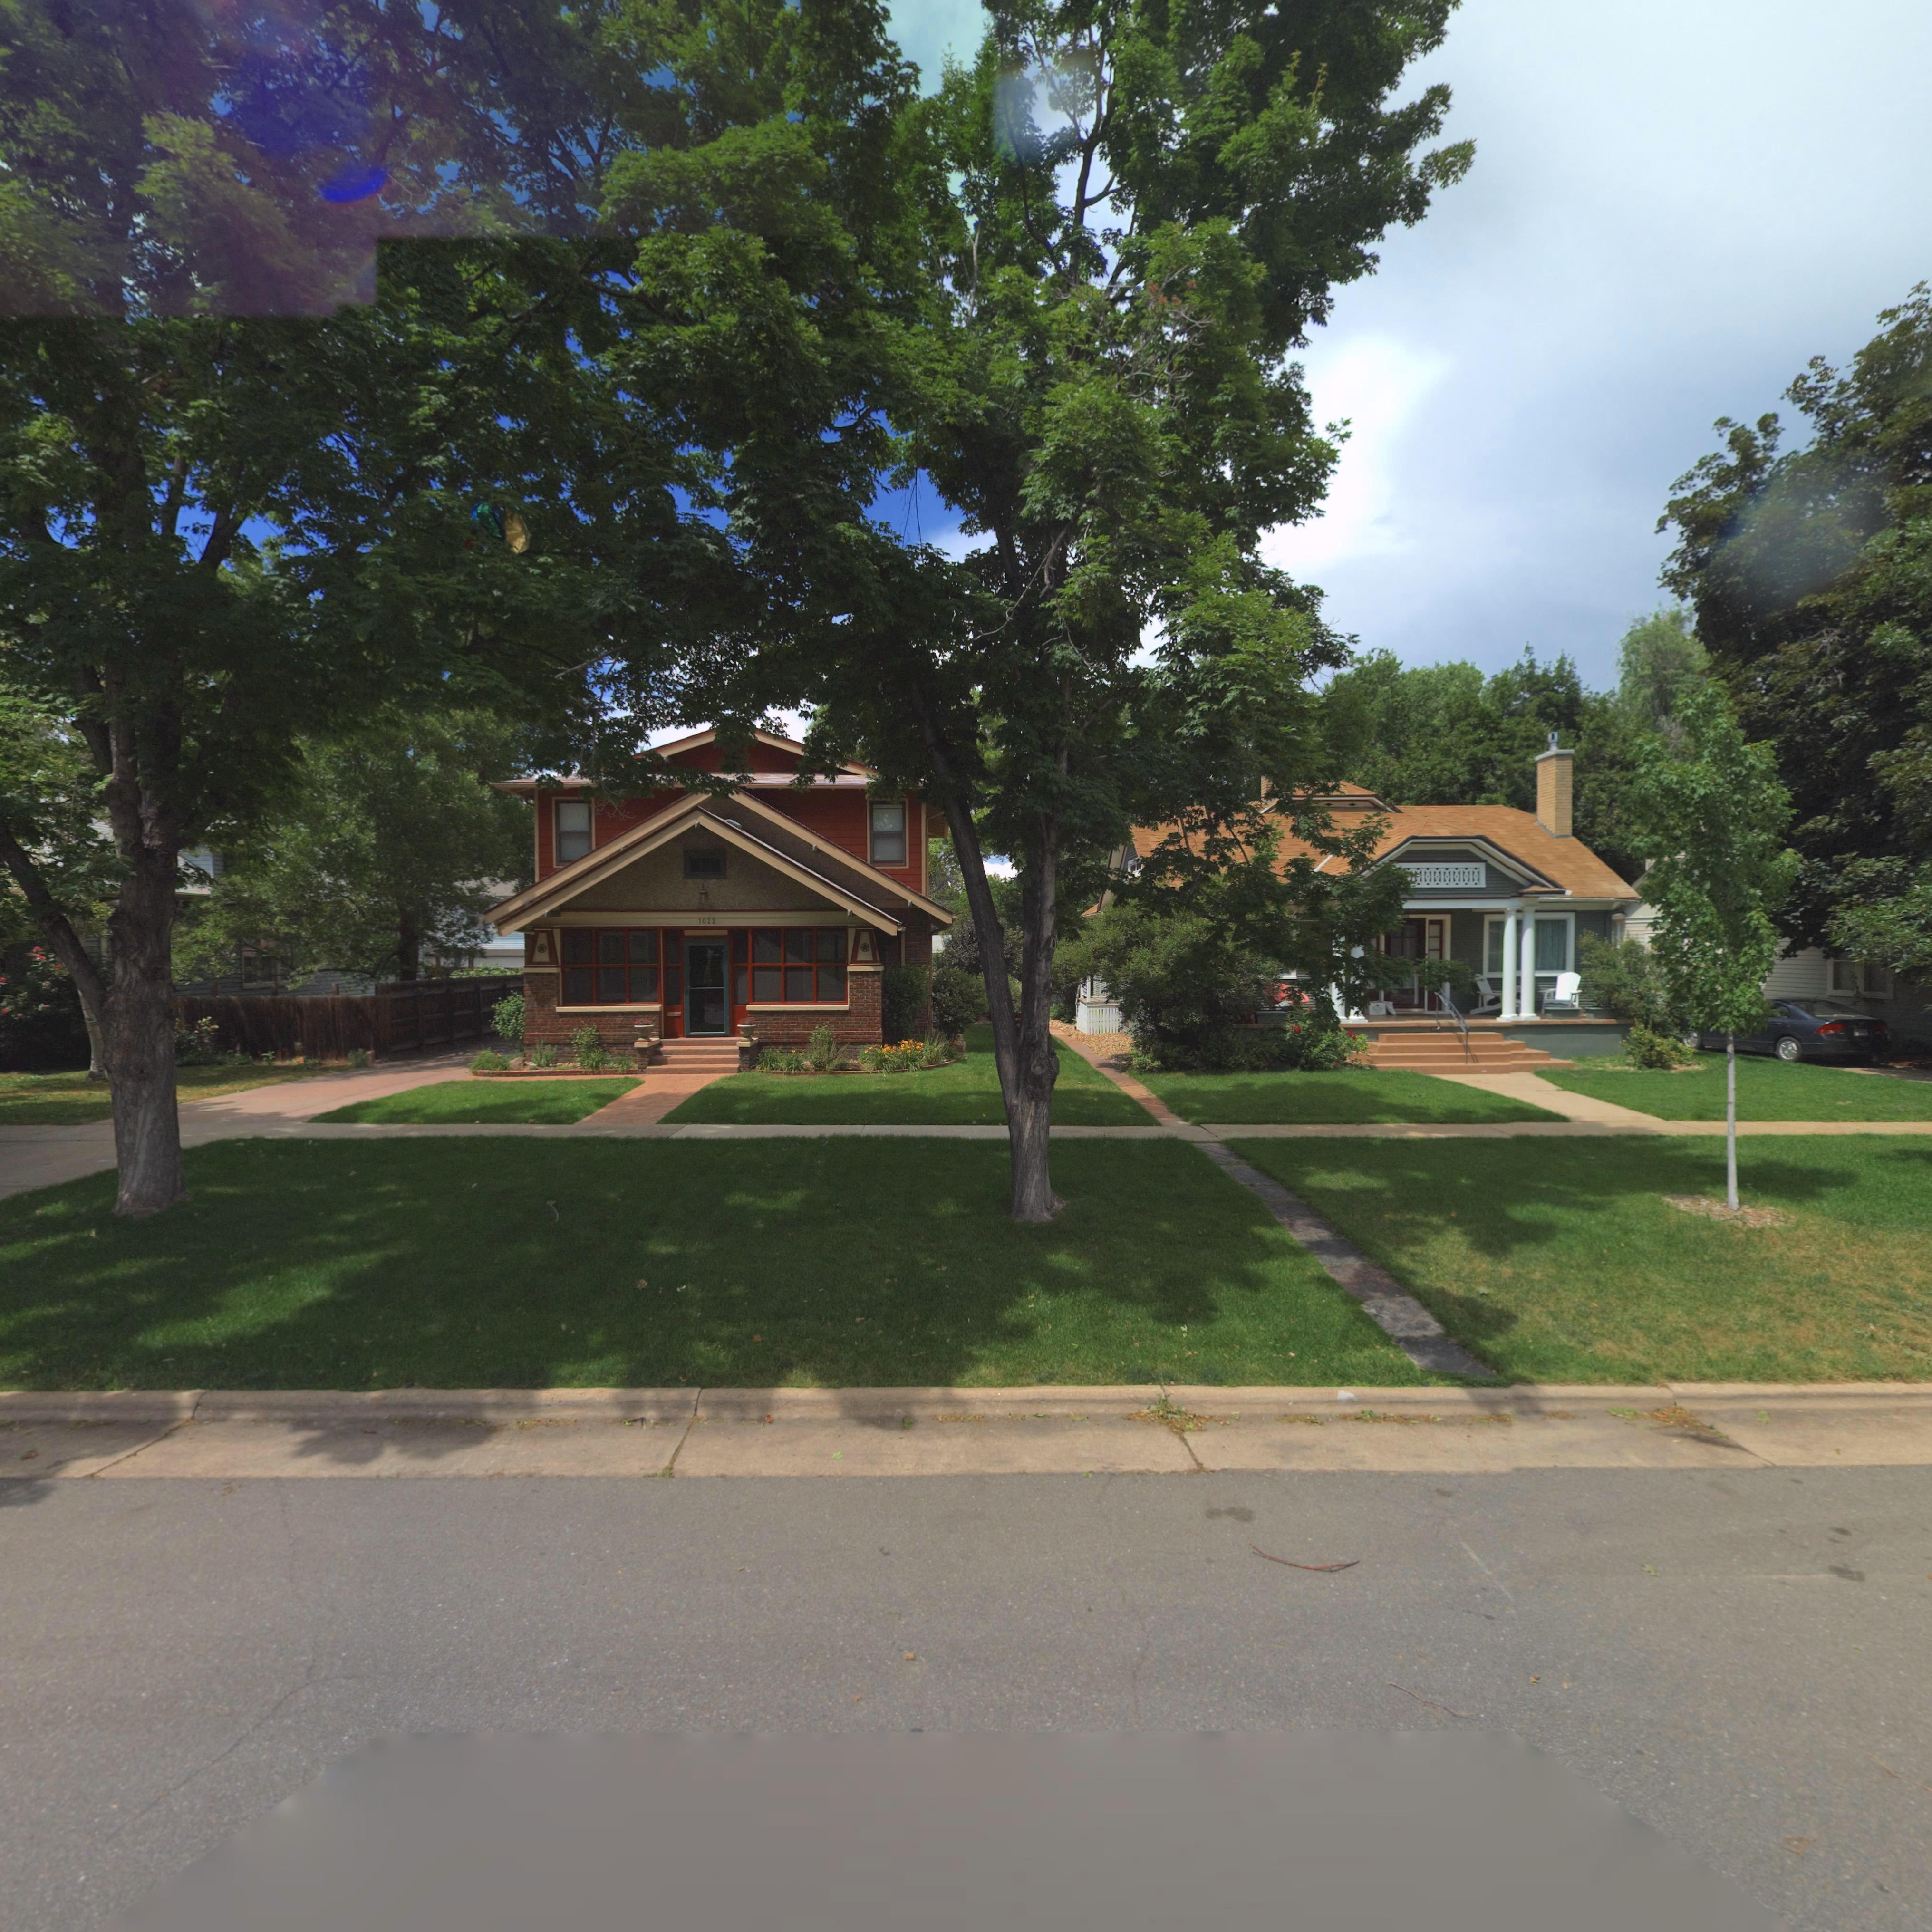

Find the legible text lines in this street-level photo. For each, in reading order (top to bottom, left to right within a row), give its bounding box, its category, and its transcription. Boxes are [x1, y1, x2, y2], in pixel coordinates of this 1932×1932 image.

[697, 917, 716, 924] StreetNumber: 1022